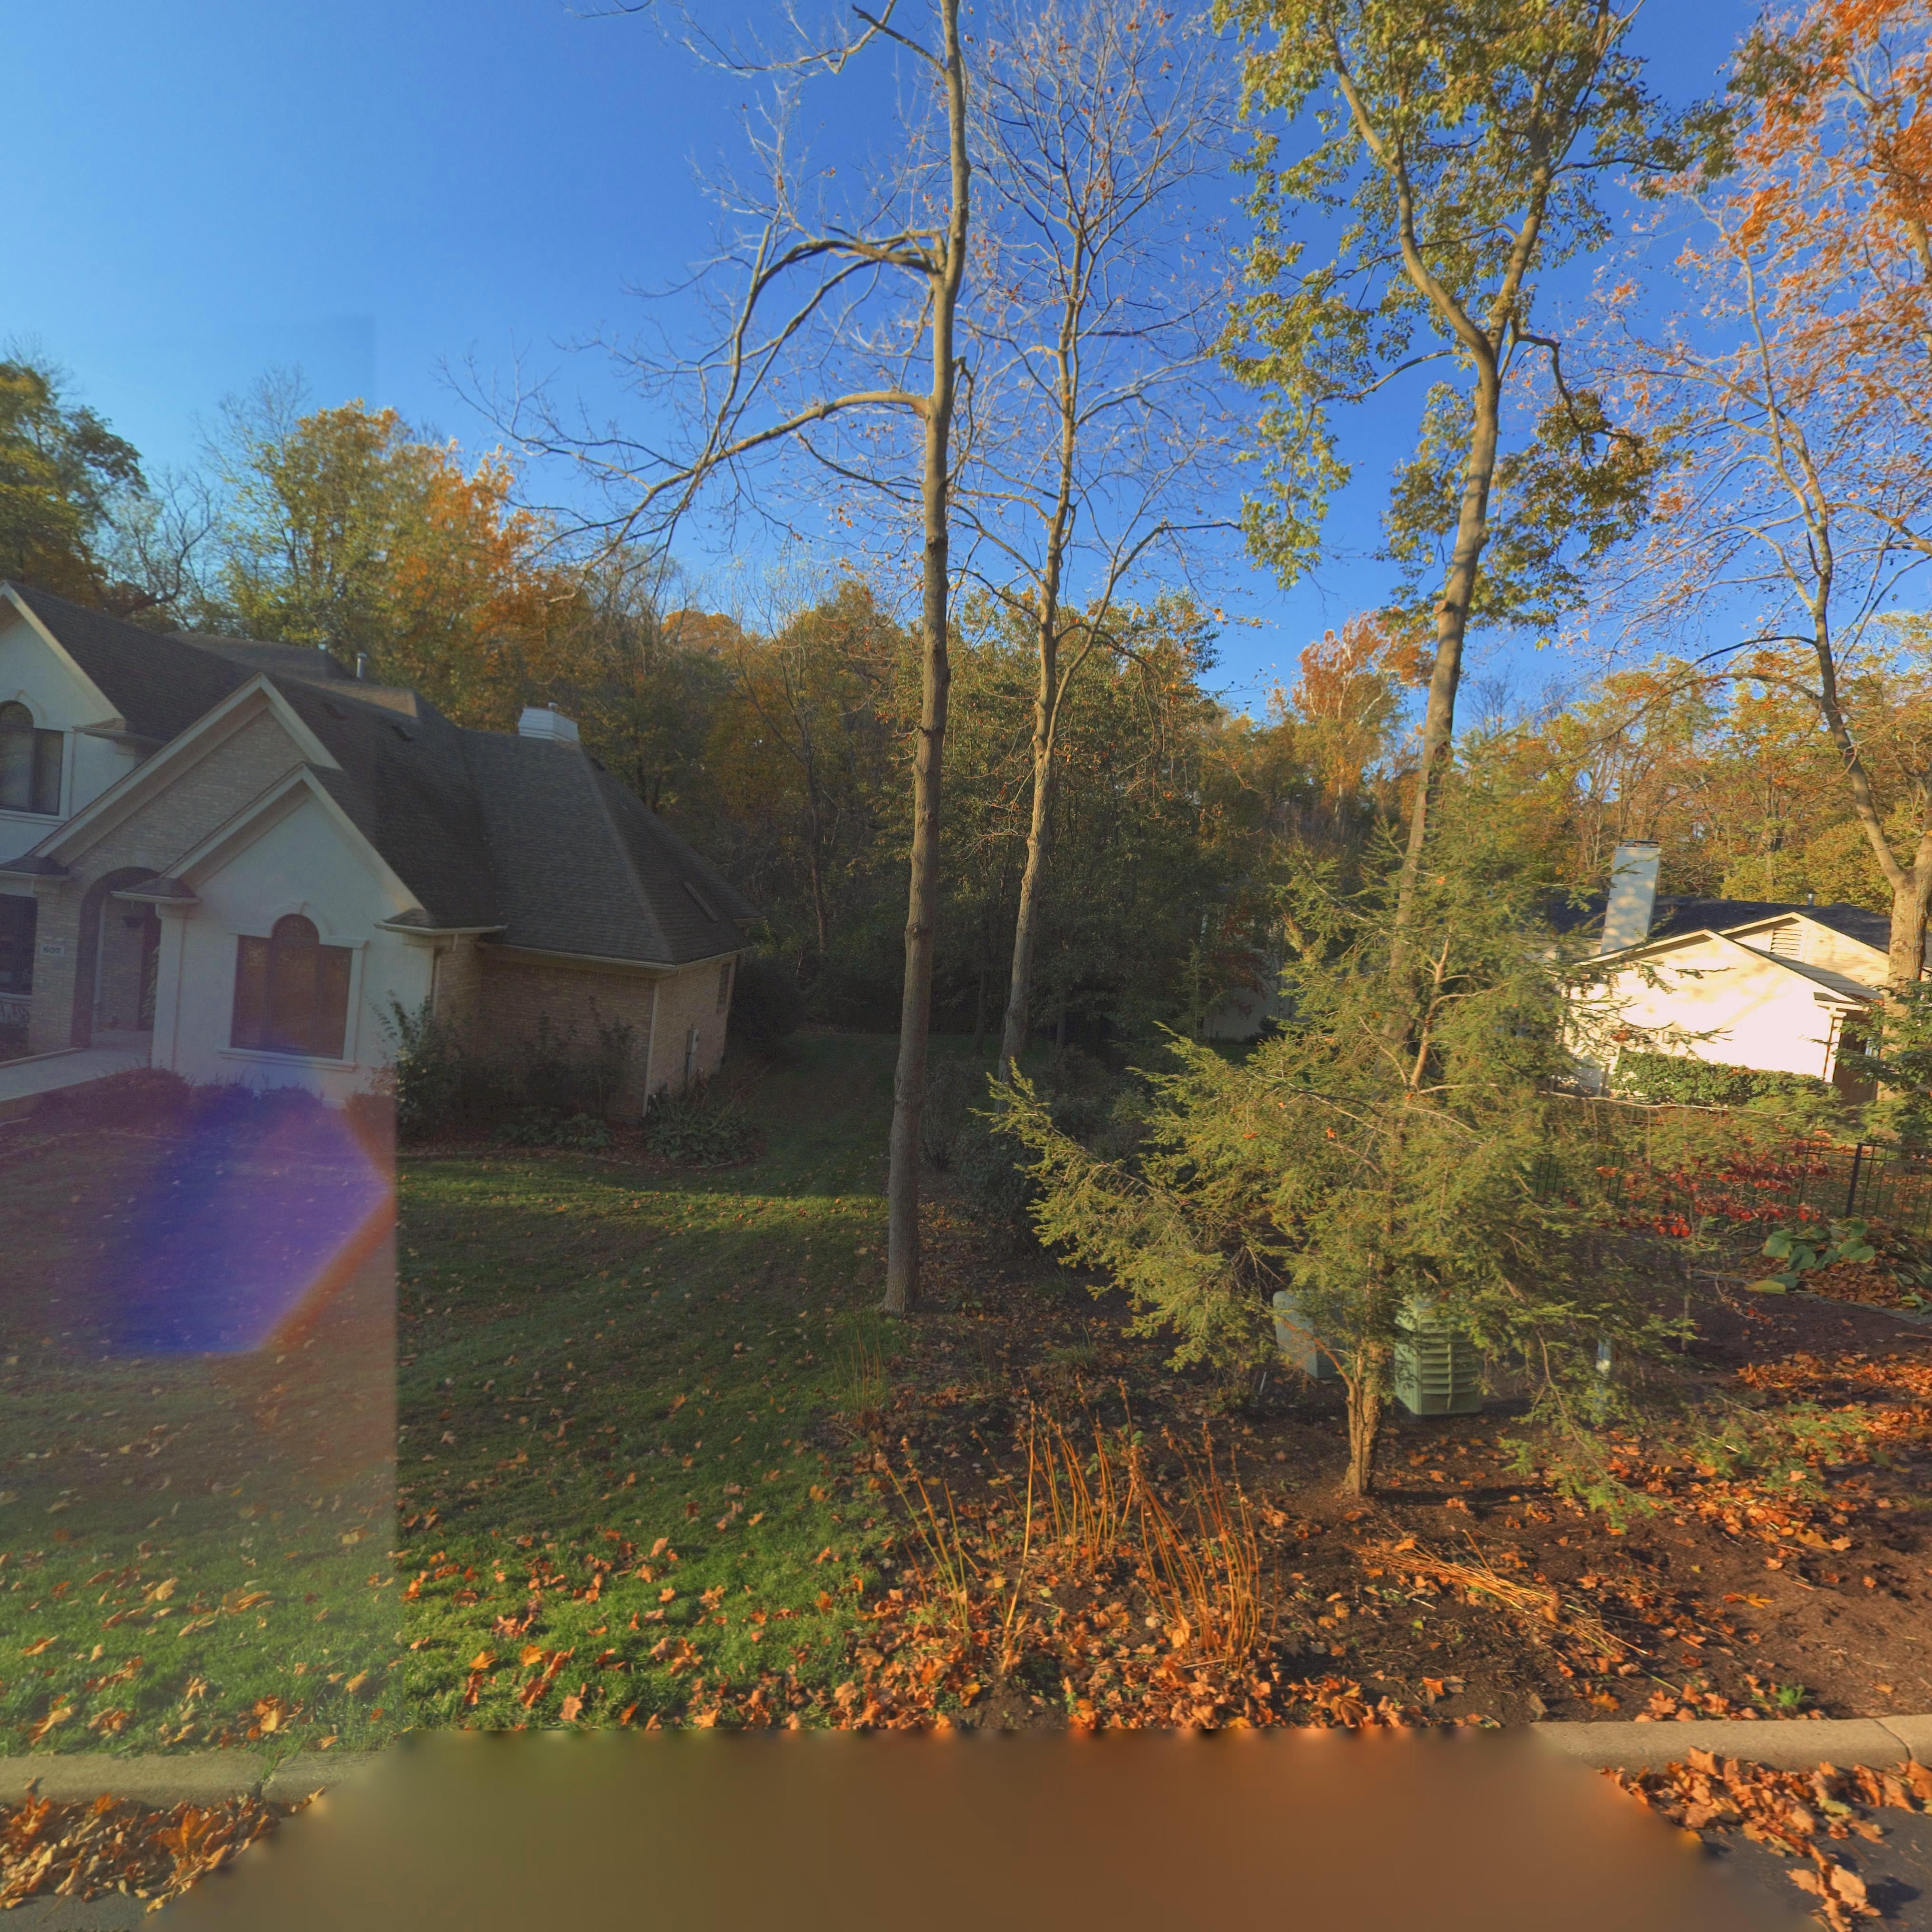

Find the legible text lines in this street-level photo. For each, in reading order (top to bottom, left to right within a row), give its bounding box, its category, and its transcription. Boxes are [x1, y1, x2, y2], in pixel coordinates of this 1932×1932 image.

[42, 945, 63, 956] StreetNumber: 607